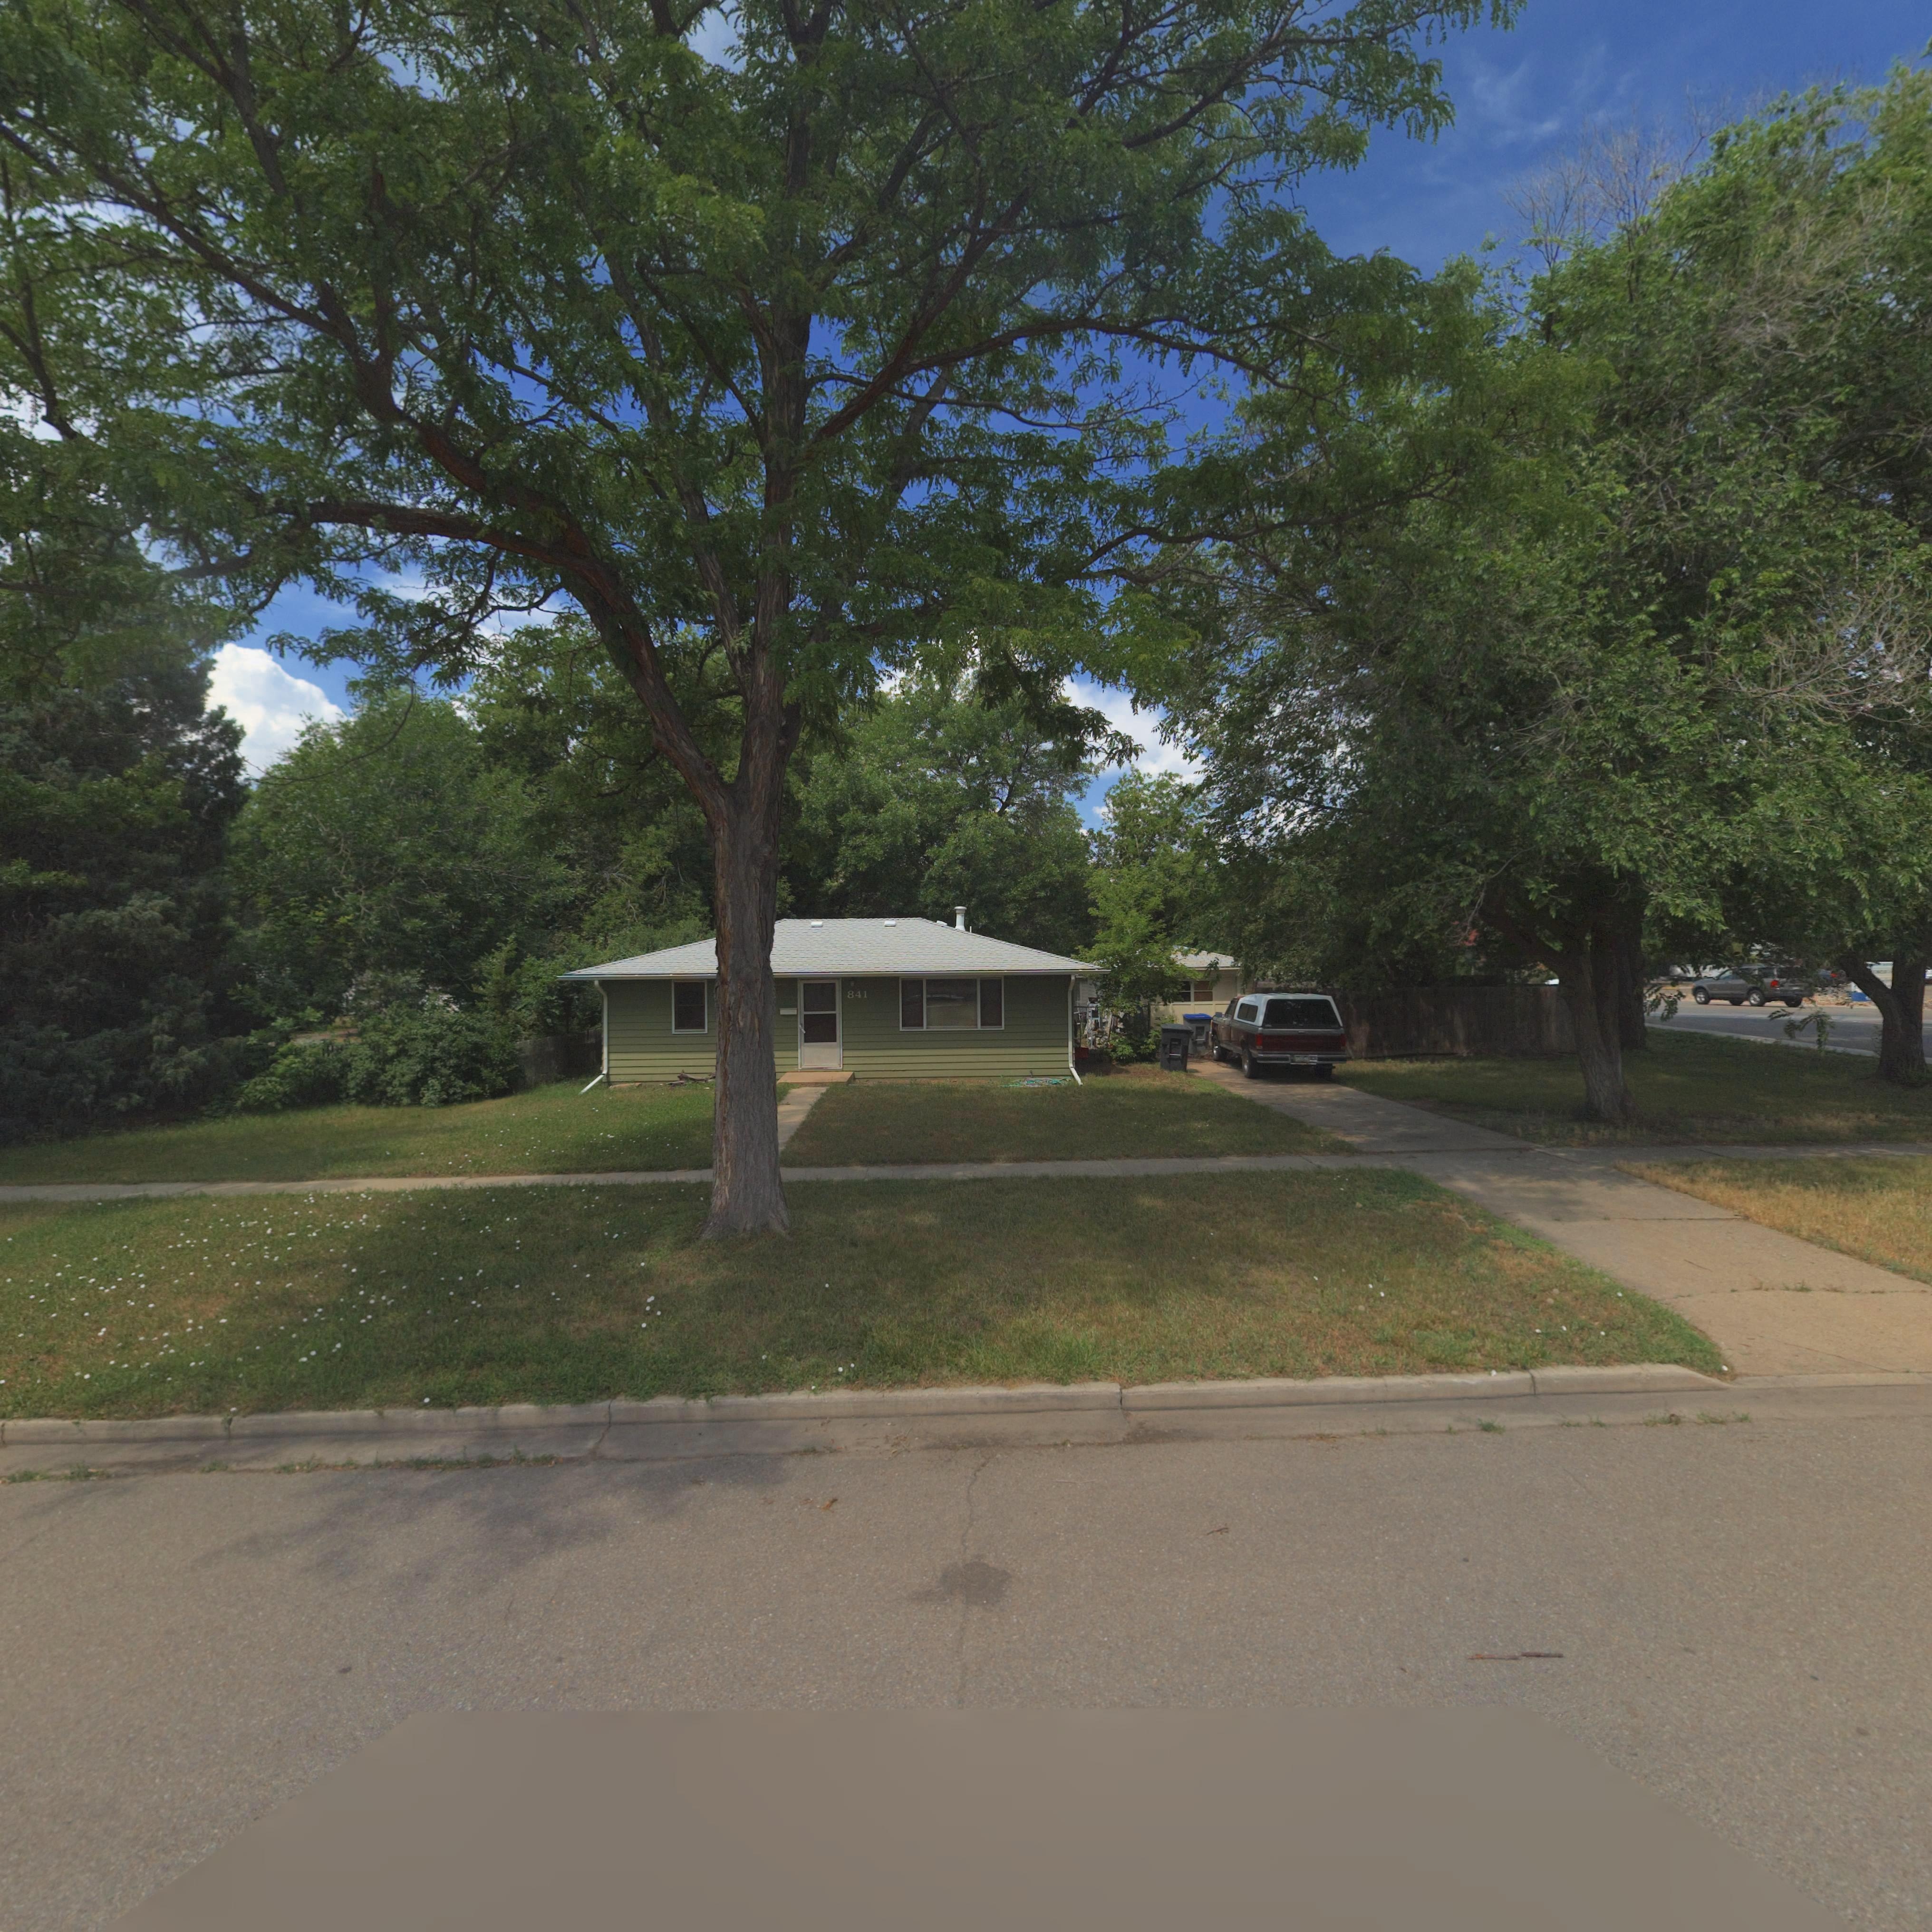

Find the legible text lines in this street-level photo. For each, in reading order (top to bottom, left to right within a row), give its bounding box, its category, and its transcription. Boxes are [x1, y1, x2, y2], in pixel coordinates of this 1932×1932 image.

[847, 990, 867, 998] StreetNumber: 841